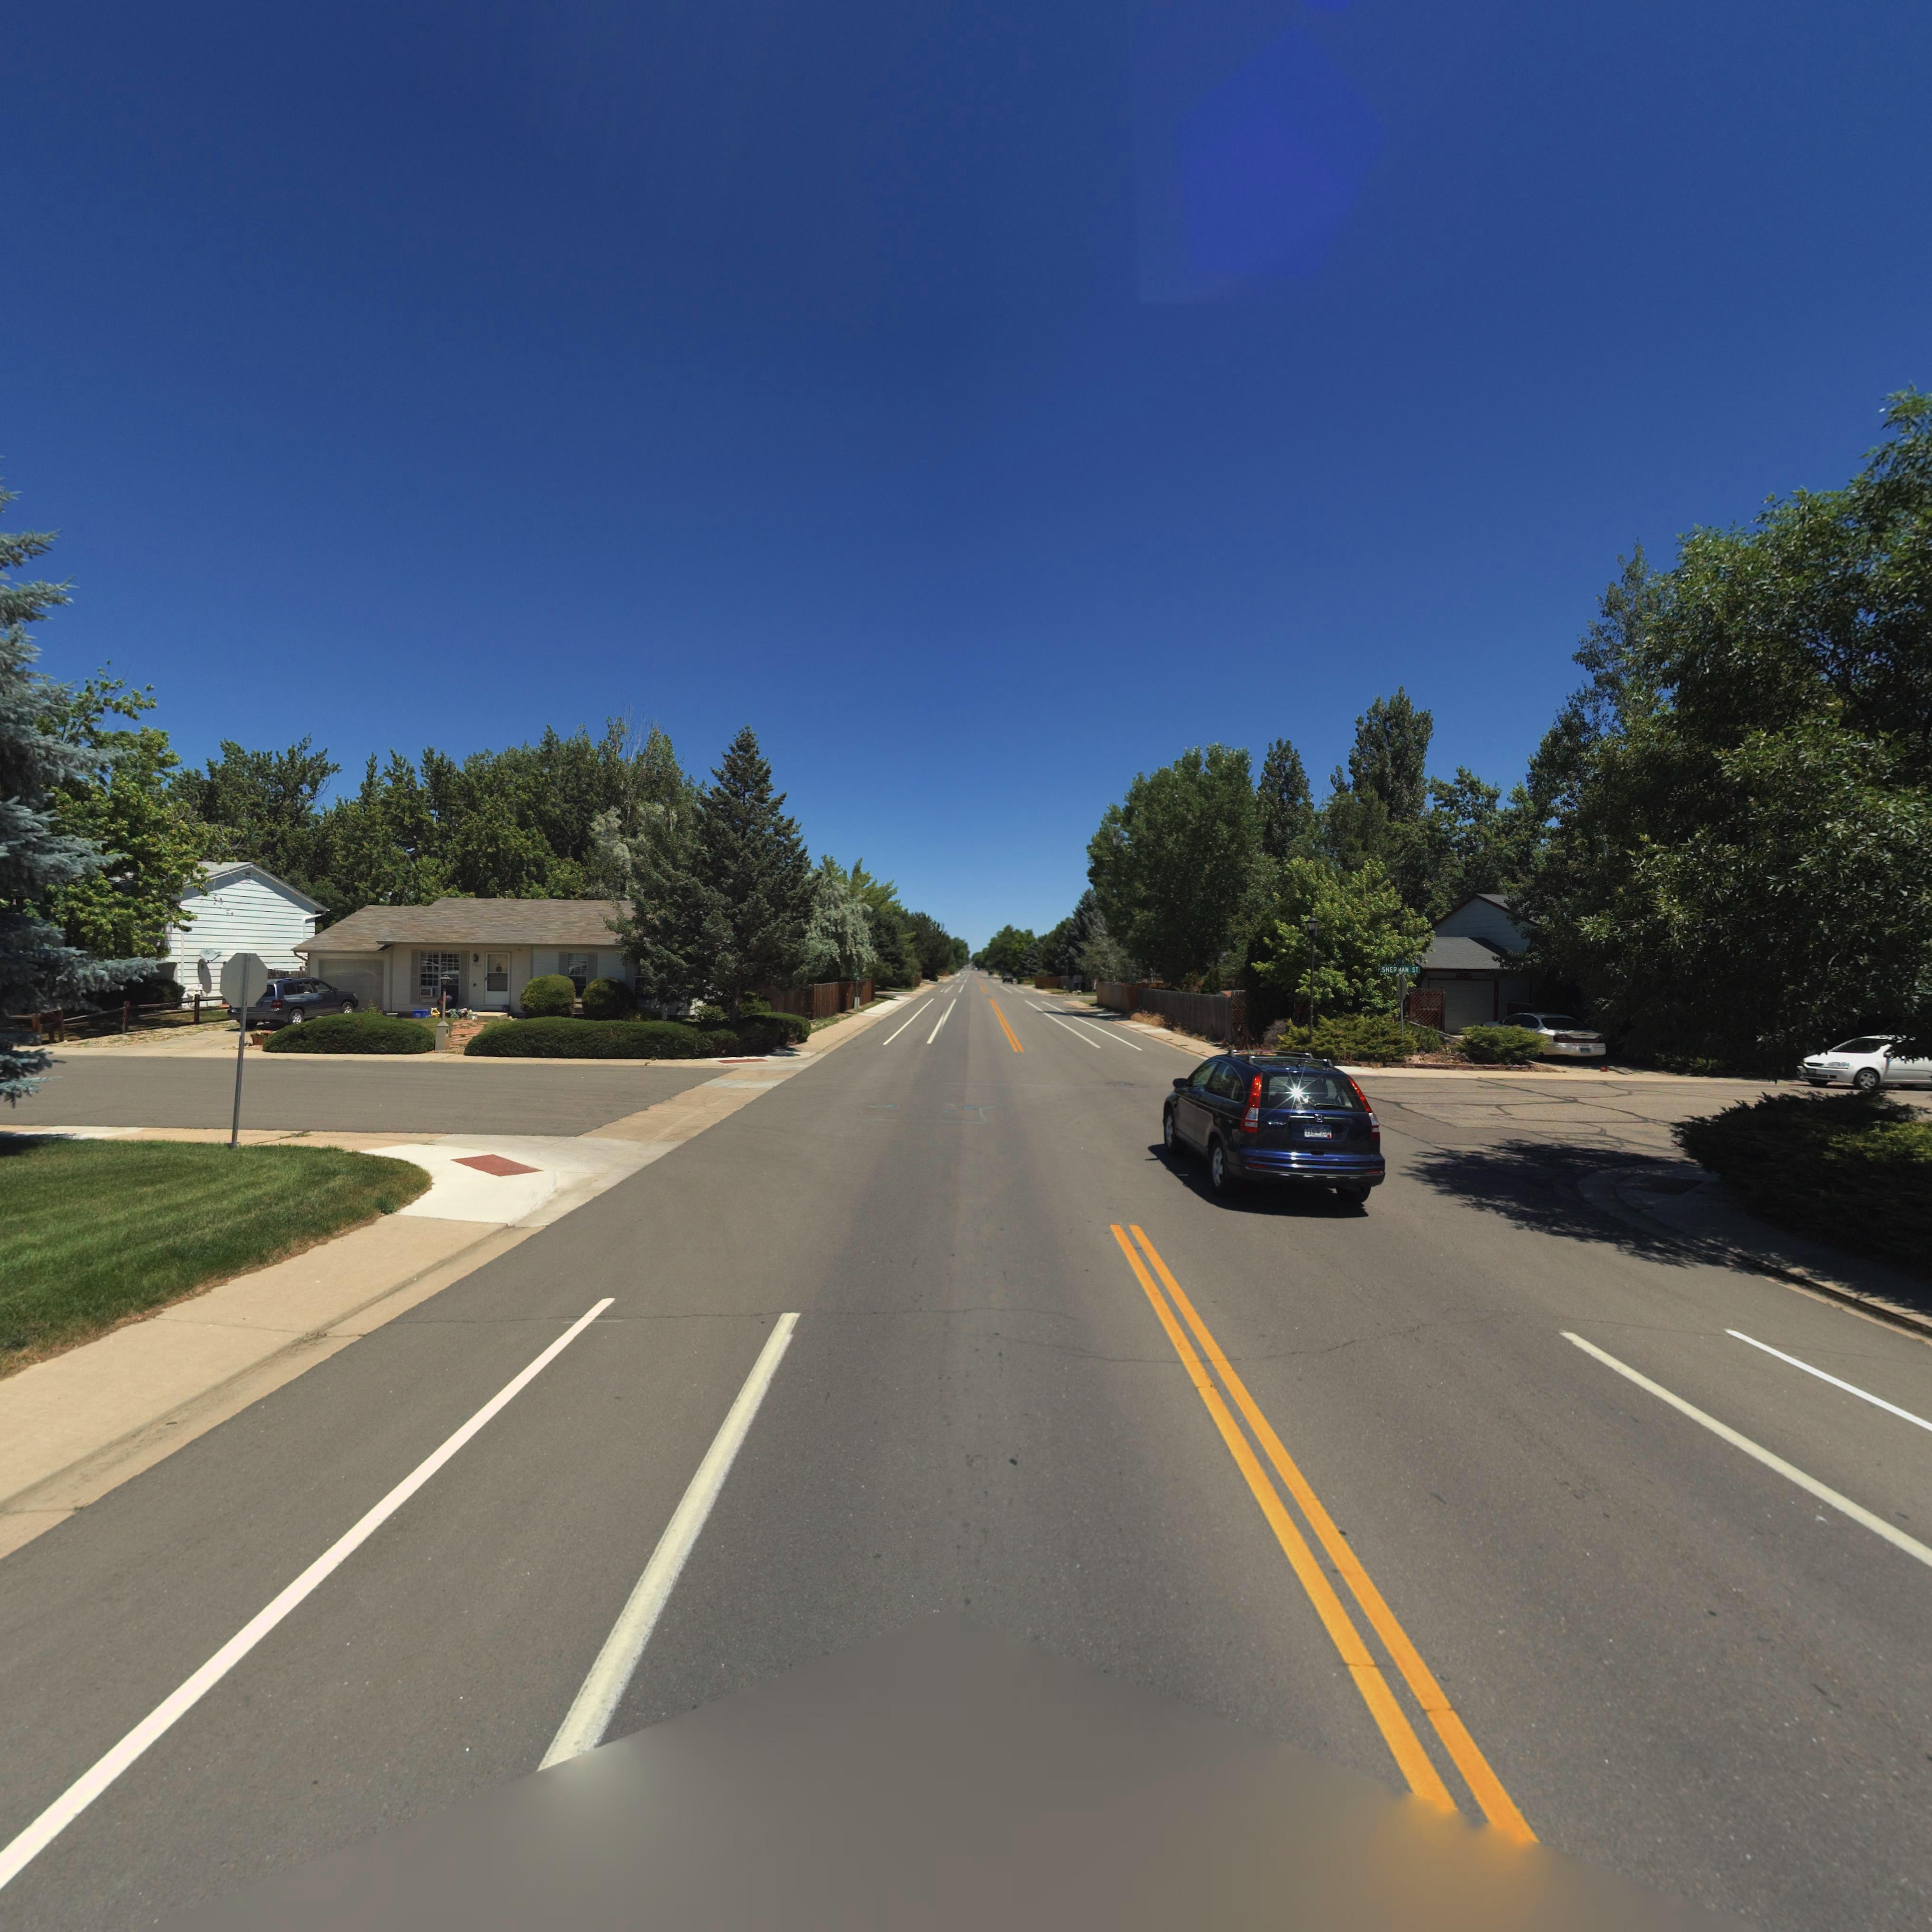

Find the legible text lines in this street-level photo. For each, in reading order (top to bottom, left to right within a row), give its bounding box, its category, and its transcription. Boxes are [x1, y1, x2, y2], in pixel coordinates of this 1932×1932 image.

[1381, 966, 1418, 973] StreetName: SHERMAN ST
[1457, 974, 1471, 979] StreetNumber: 22**